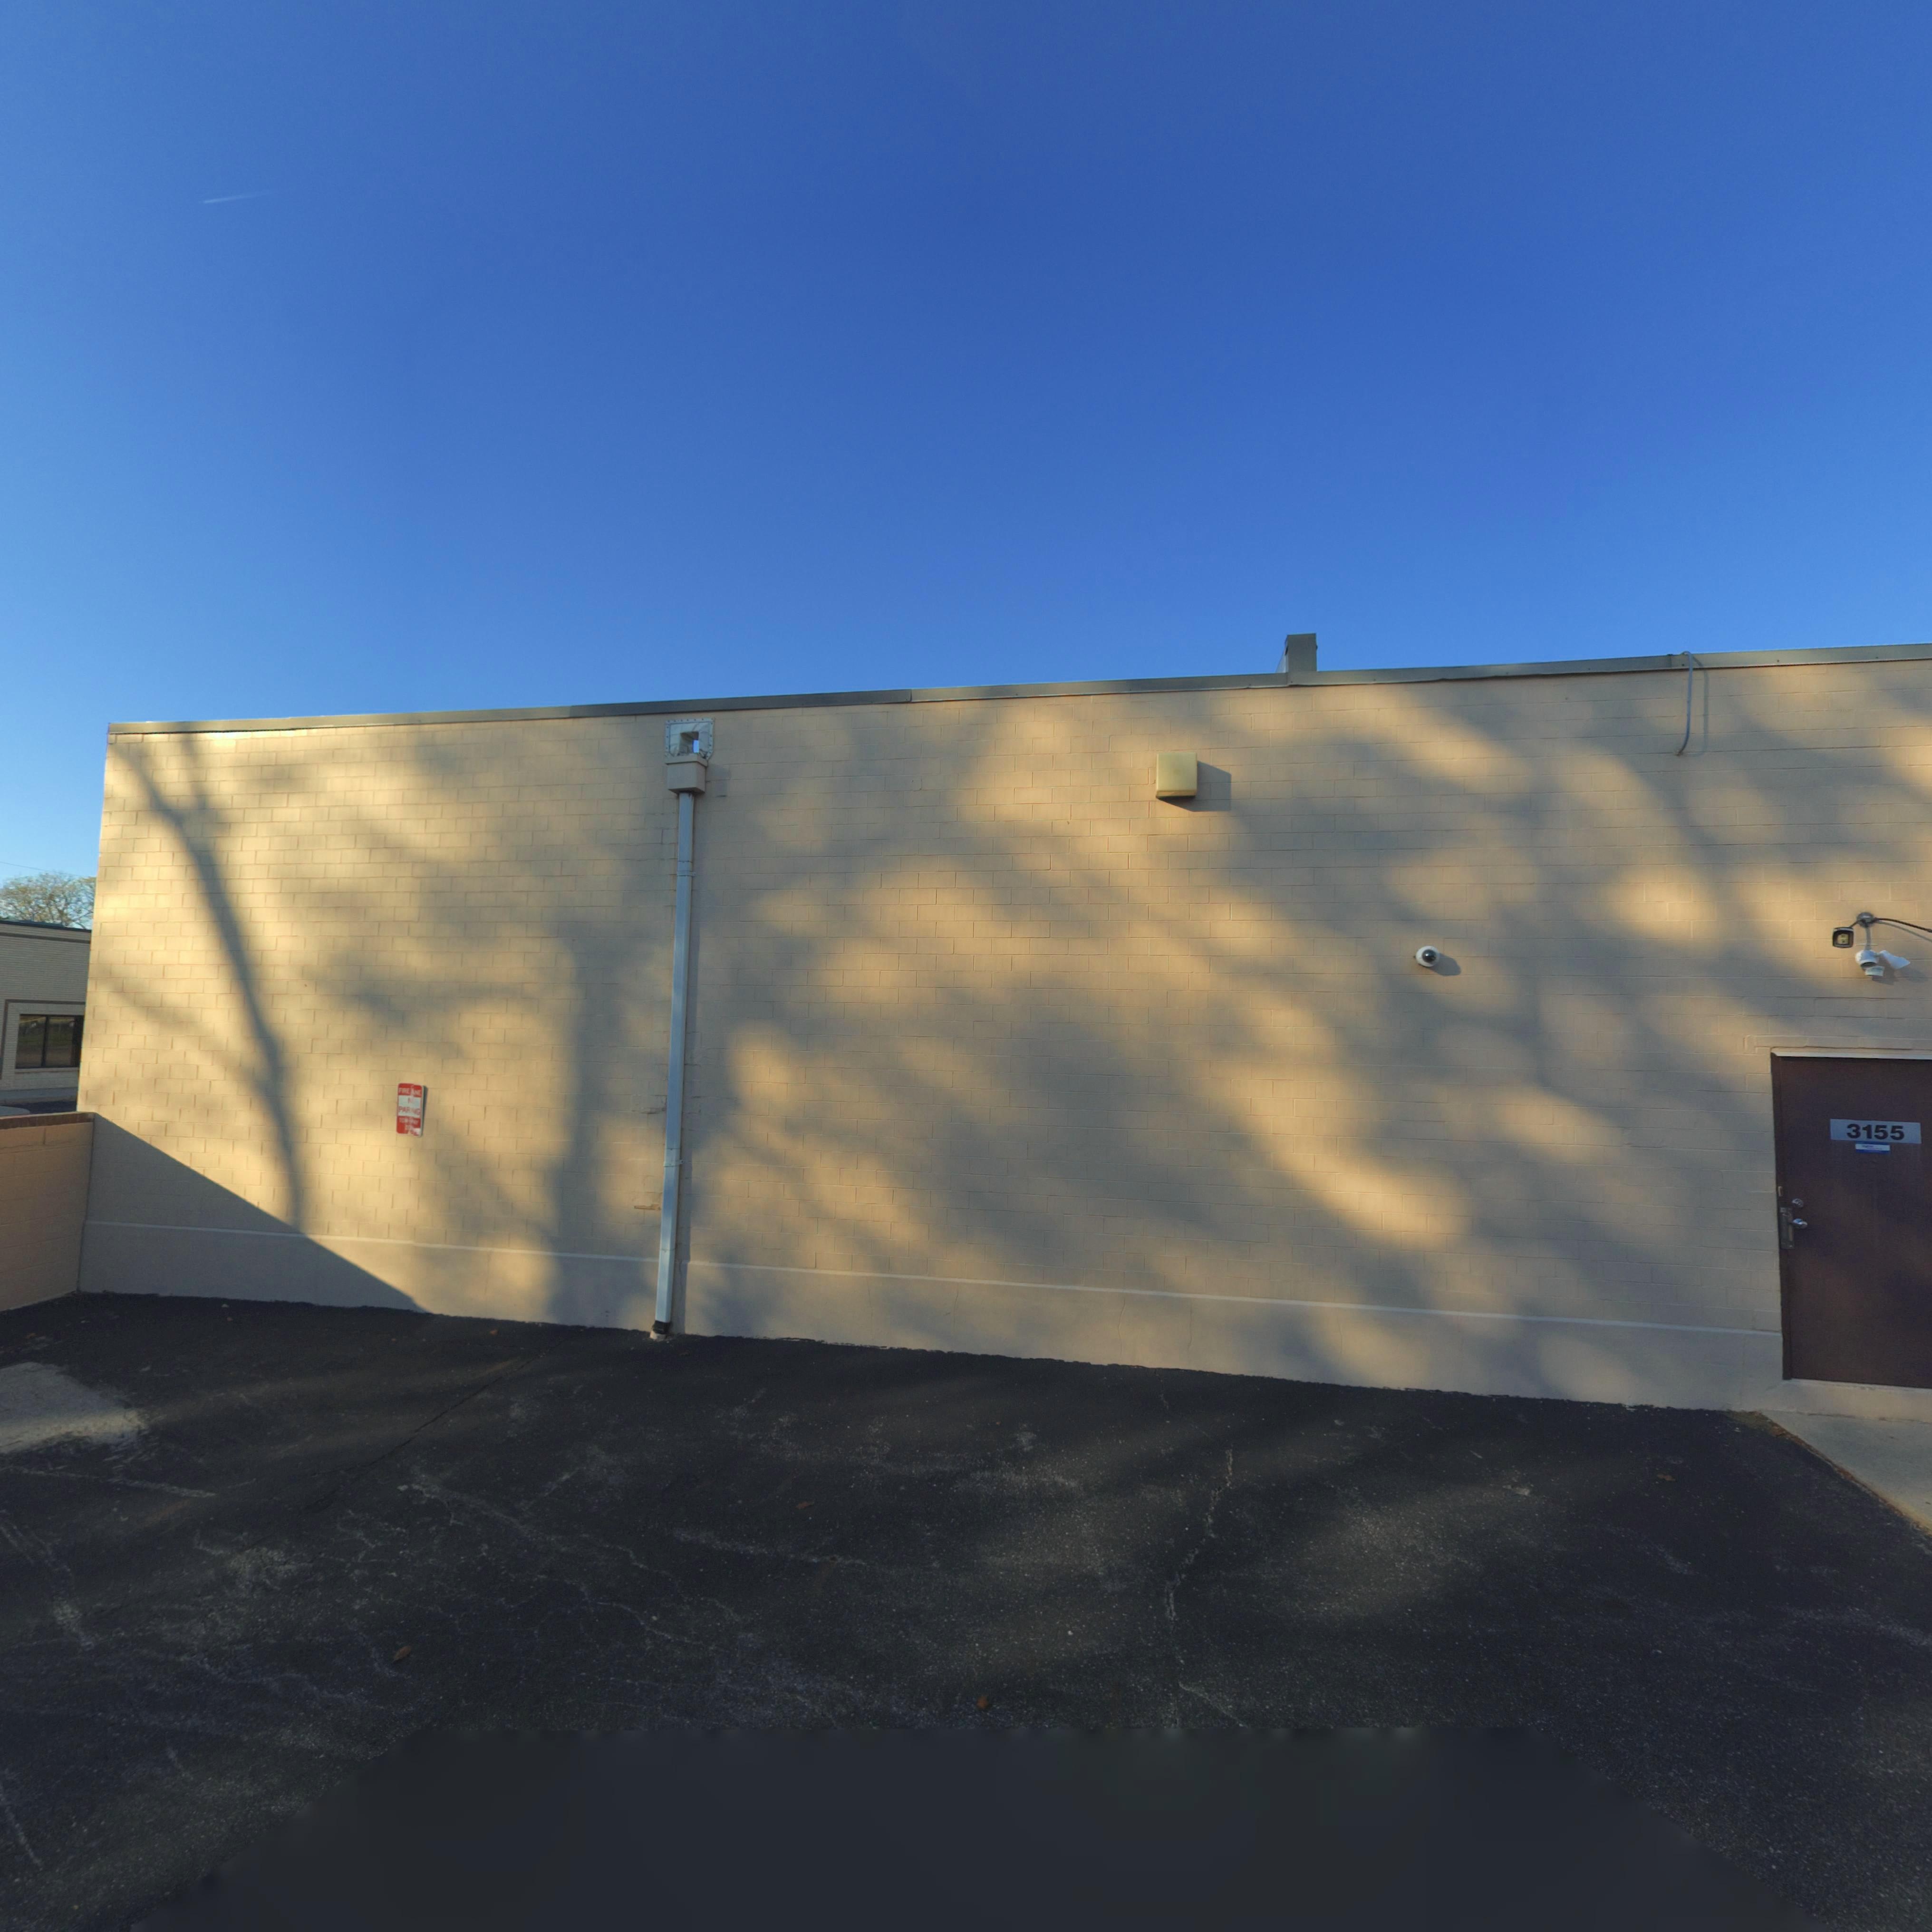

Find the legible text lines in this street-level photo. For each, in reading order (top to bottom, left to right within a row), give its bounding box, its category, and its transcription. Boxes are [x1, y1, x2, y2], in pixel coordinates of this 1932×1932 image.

[1846, 1122, 1905, 1141] StreetNumber: 3155